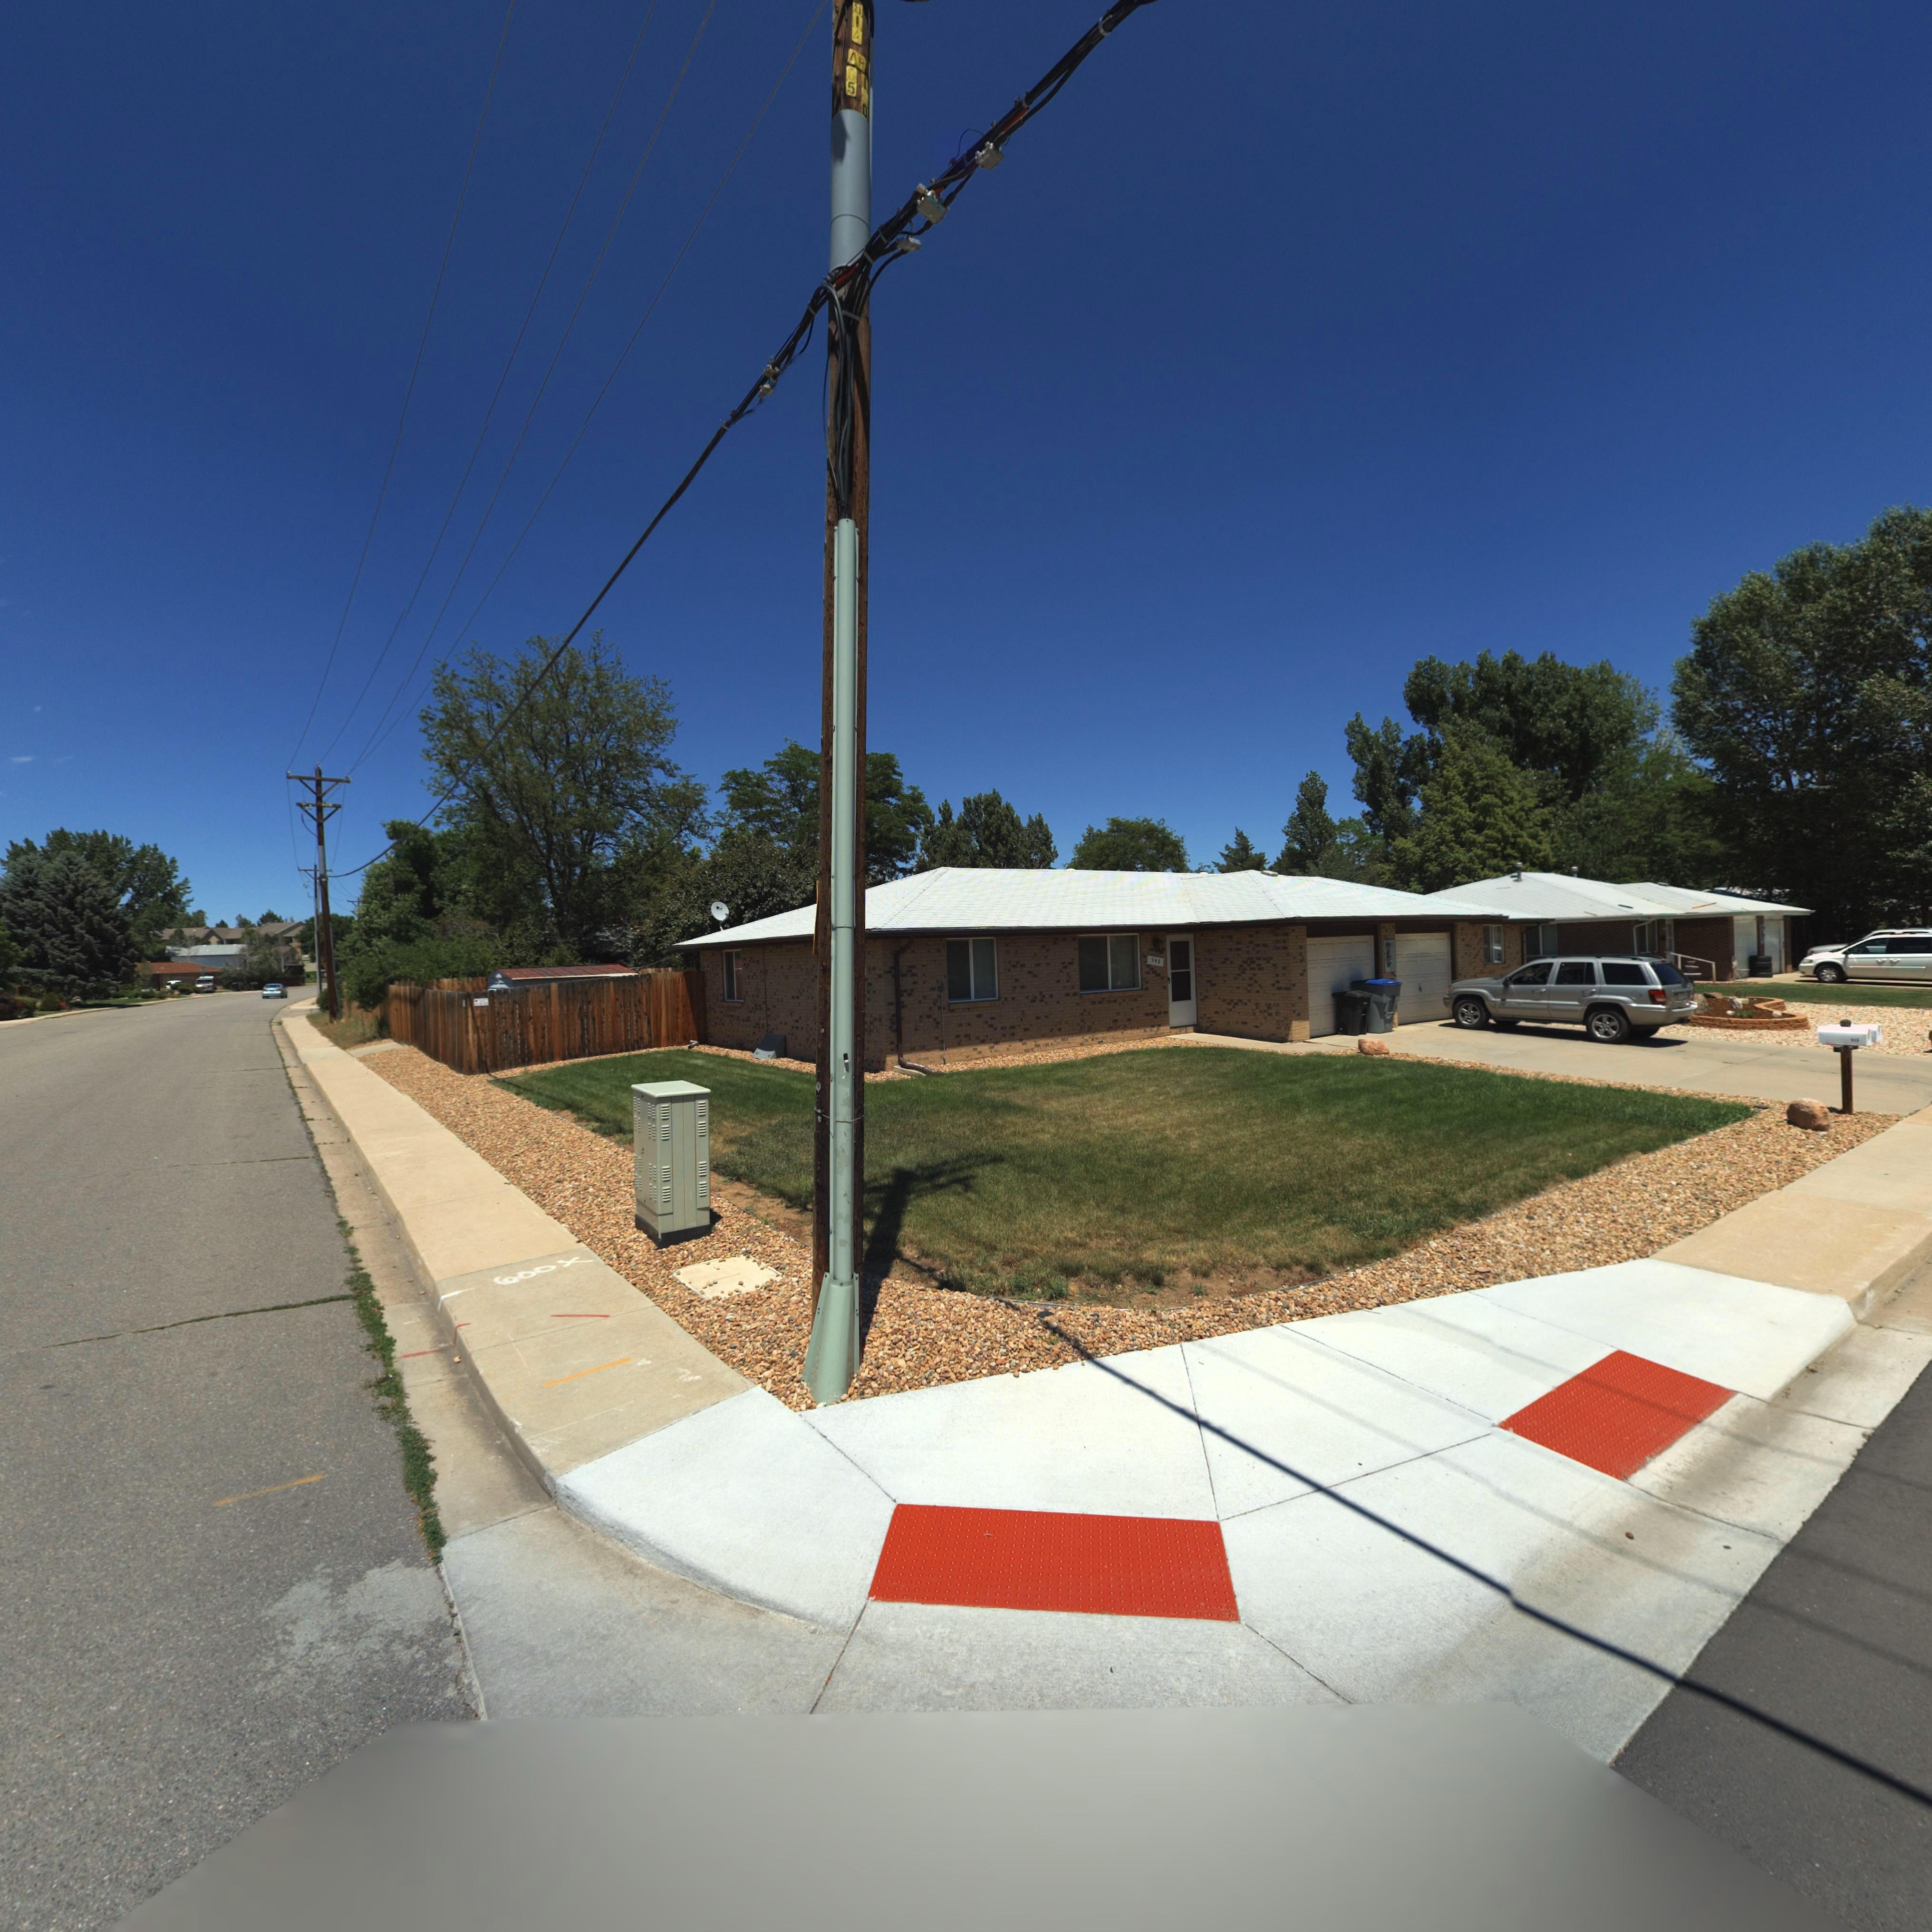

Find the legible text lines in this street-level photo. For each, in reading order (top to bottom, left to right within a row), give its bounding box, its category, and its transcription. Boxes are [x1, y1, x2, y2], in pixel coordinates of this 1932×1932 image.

[1151, 957, 1160, 964] StreetNumber: 948